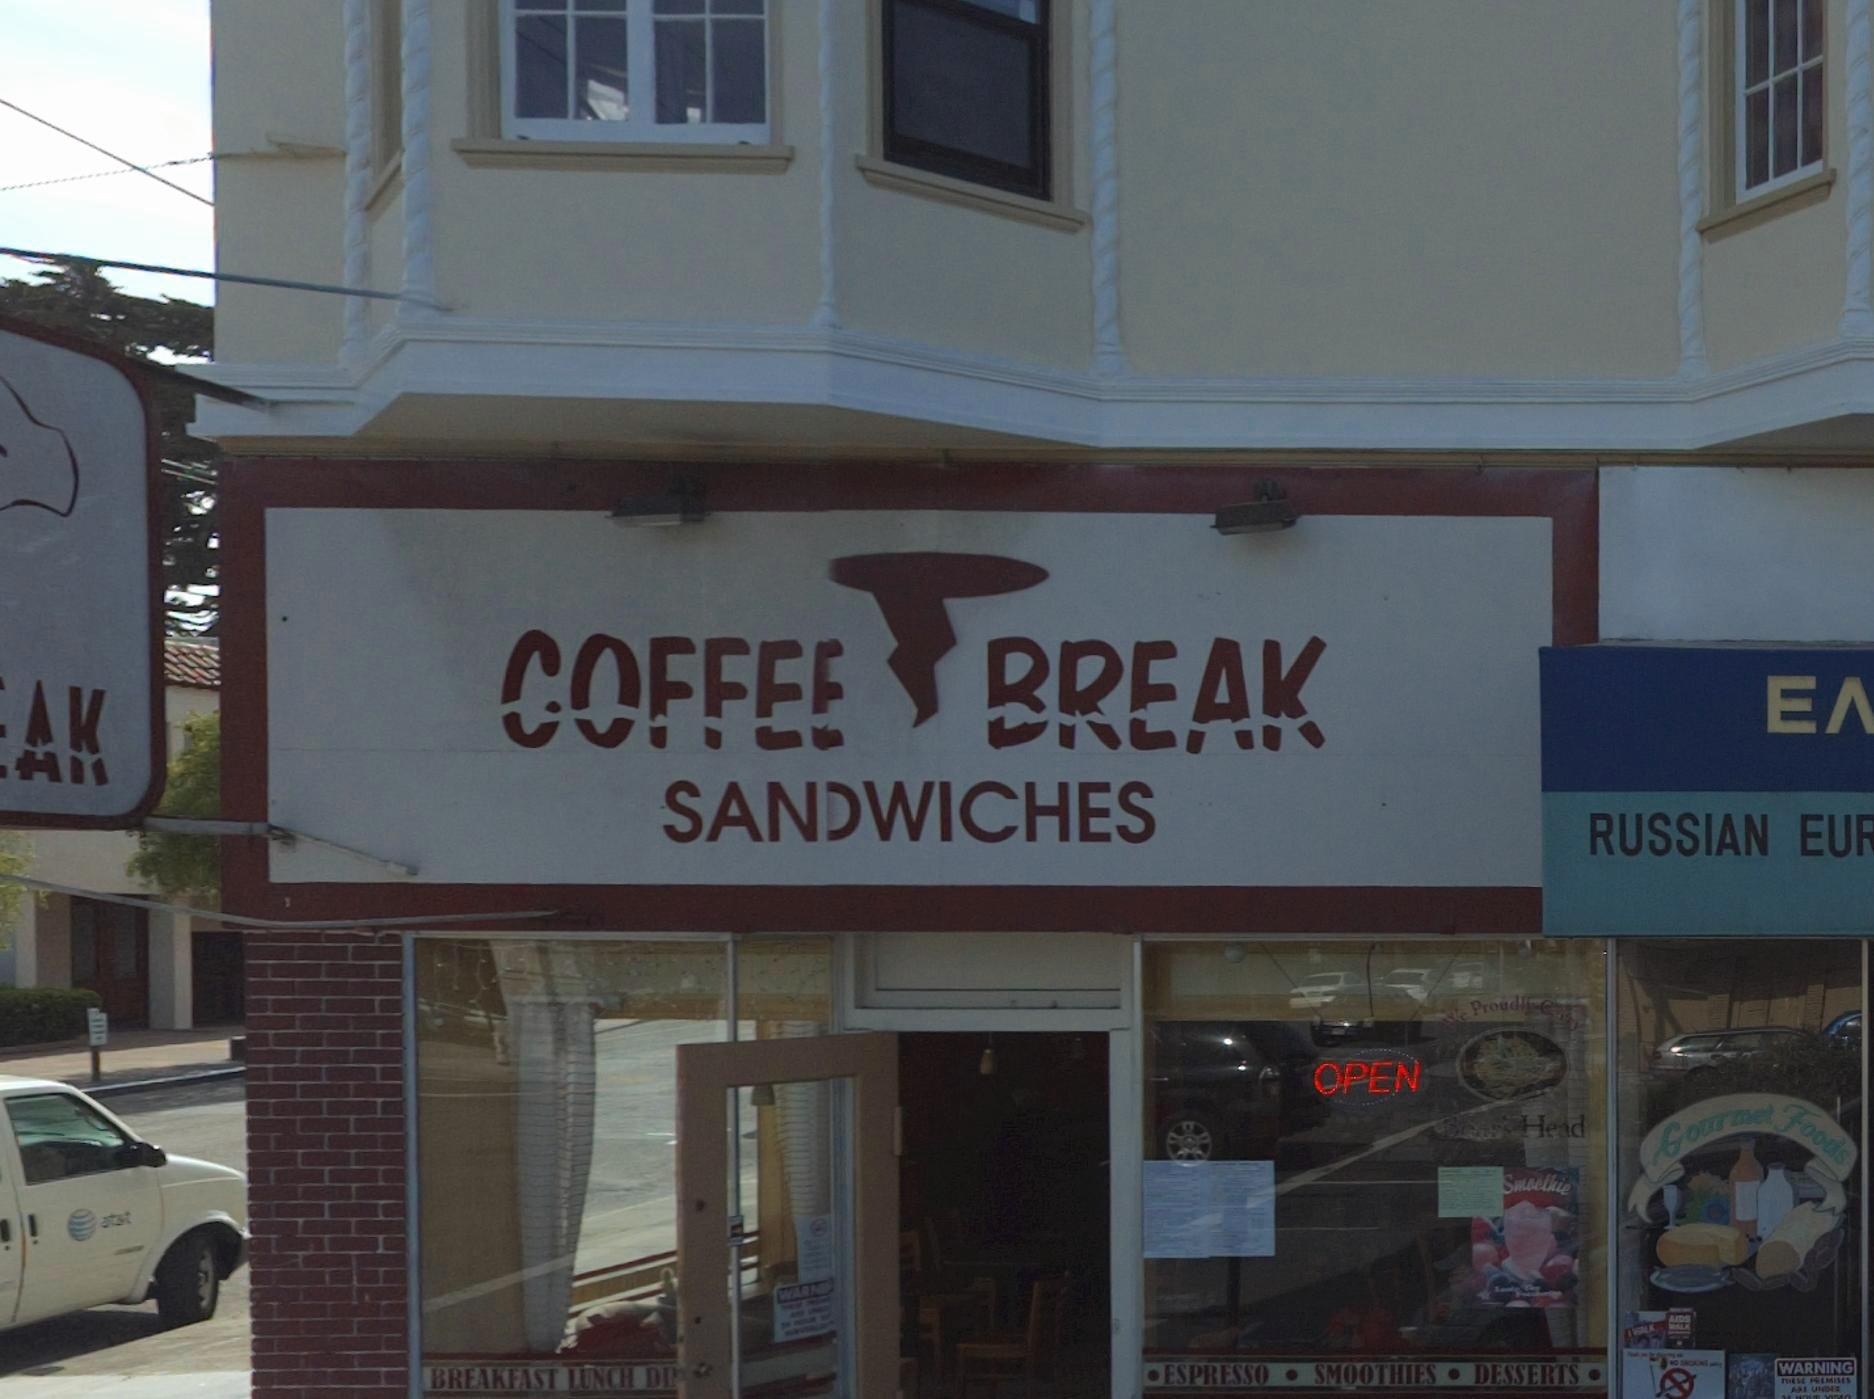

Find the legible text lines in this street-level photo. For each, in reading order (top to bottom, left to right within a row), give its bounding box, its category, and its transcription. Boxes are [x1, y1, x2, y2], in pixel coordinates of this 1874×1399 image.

[498, 627, 1332, 757] BusinessName: COFFEE * BREAK
[1761, 670, 1874, 740] None: E*
[4, 670, 116, 793] BusinessName: AK
[663, 779, 1159, 846] None: SAN*WICHES
[1585, 808, 1856, 861] None: RUSSIAN EU
[1436, 992, 1589, 1037] None: We Proudly Carry
[1310, 1055, 1423, 1098] None: OPEN
[1438, 1109, 1588, 1144] None: Boar's Head
[1647, 1100, 1855, 1172] None: Gourmet Foods
[1499, 1170, 1576, 1200] None: Smoothie
[774, 1279, 831, 1305] None: WARNI
[1624, 1320, 1659, 1340] None: I WALK
[1665, 1312, 1692, 1324] None: AIDS
[1667, 1321, 1692, 1330] None: WALK
[427, 1365, 674, 1393] None: BREAKFAST LUNCH DI
[1158, 1361, 1583, 1388] None: ESPRESSO - SMOOTHIES - DESSERTS
[1775, 1358, 1855, 1377] None: WARNING